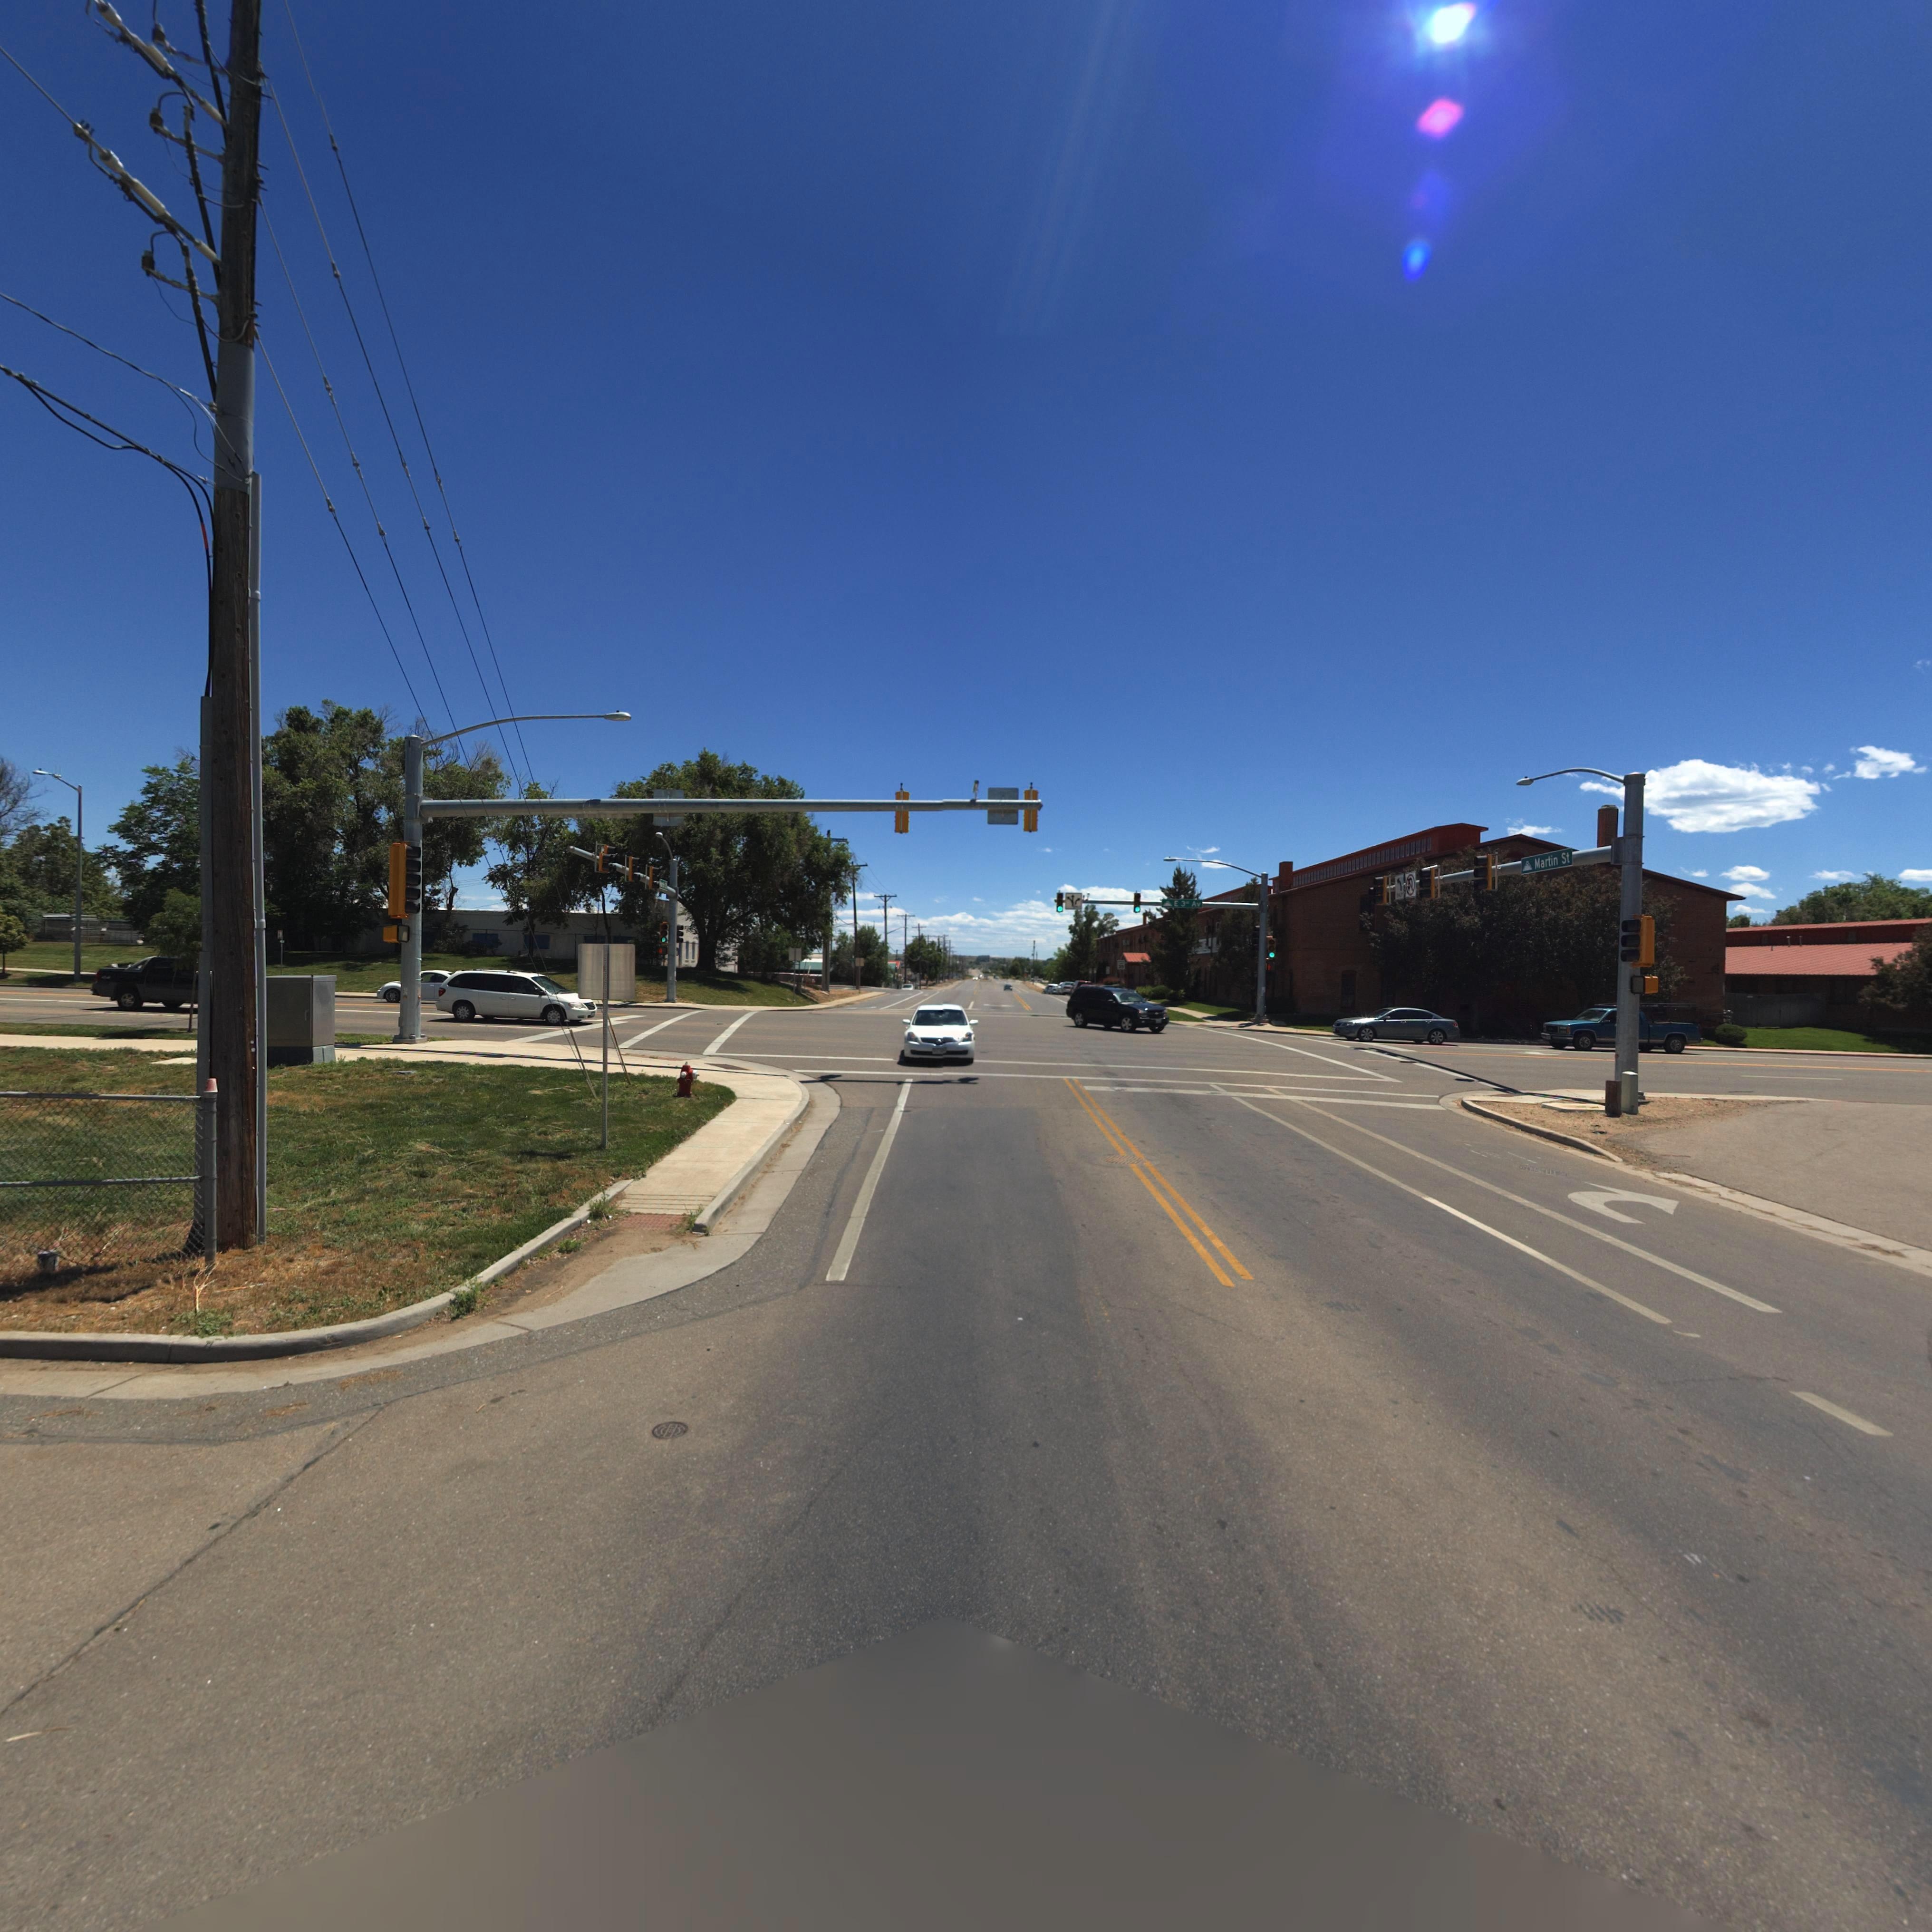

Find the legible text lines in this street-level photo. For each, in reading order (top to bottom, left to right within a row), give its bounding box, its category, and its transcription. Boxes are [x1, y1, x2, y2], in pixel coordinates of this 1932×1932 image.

[1534, 851, 1570, 869] StreetName: Martin St
[1173, 899, 1201, 907] StreetName: E 3** Av